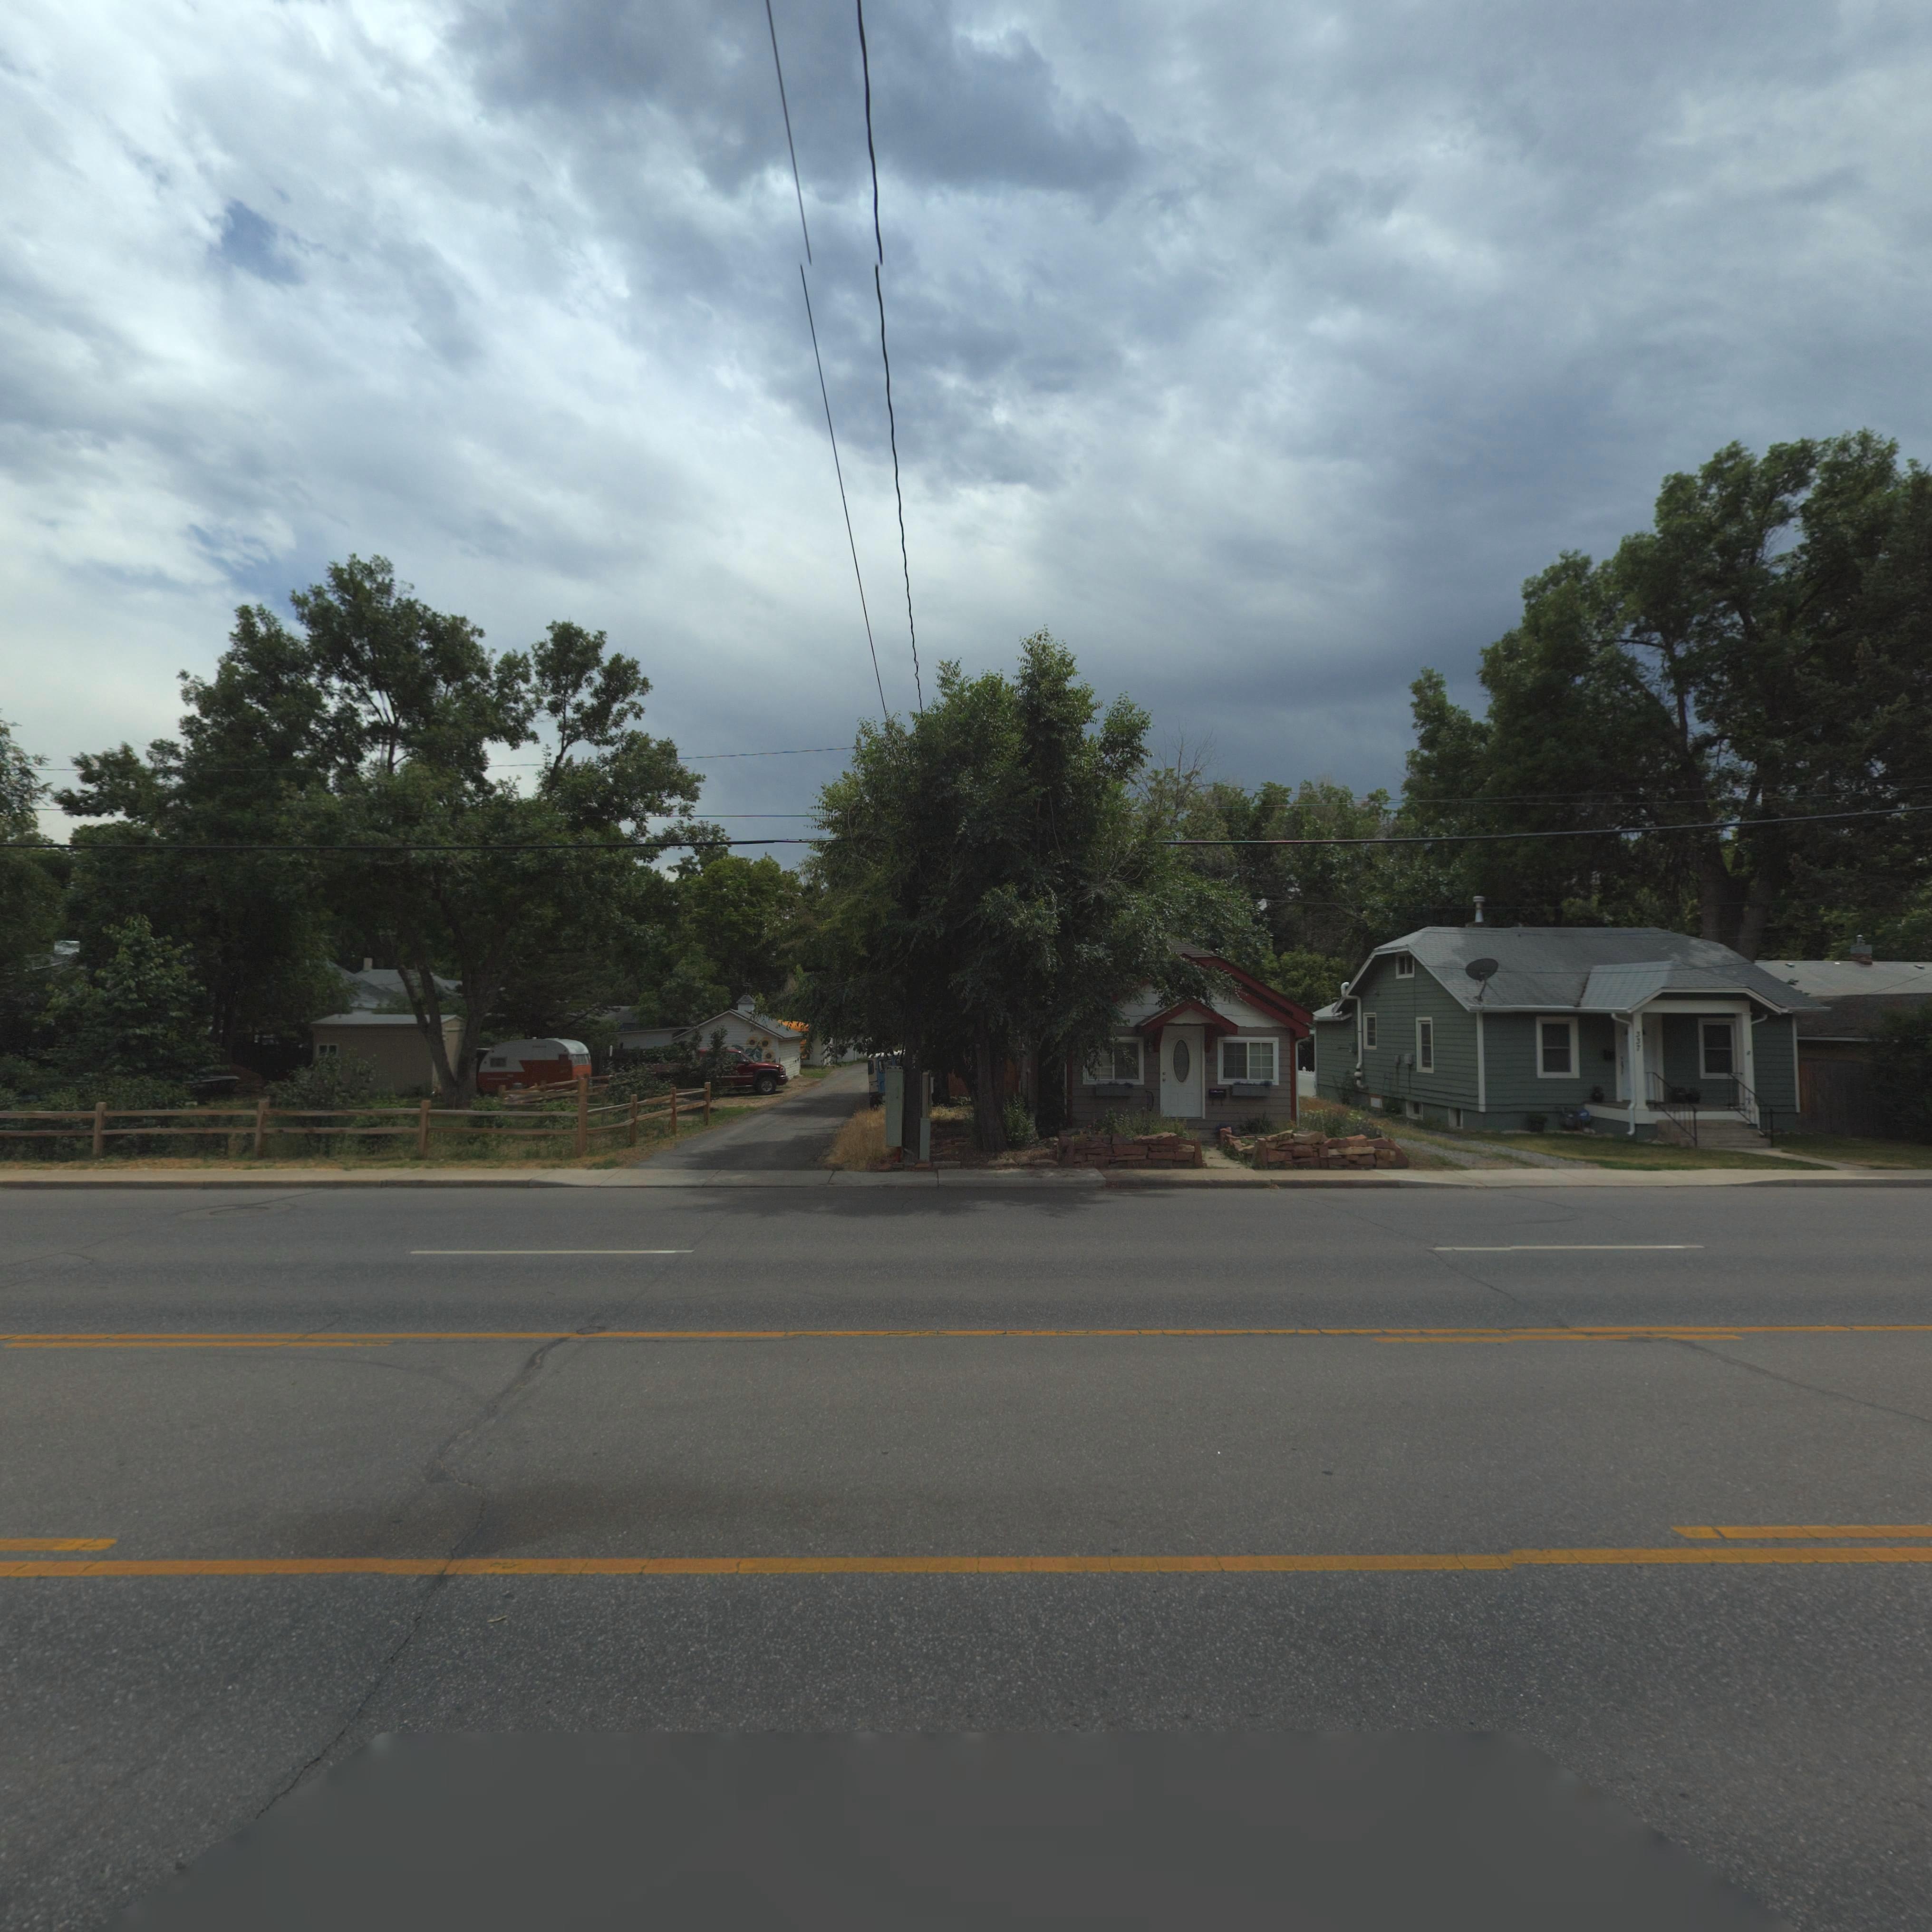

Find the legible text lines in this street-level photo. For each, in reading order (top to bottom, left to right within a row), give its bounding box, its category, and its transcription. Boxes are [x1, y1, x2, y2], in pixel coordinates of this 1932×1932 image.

[1635, 1031, 1641, 1052] StreetNumber: 337